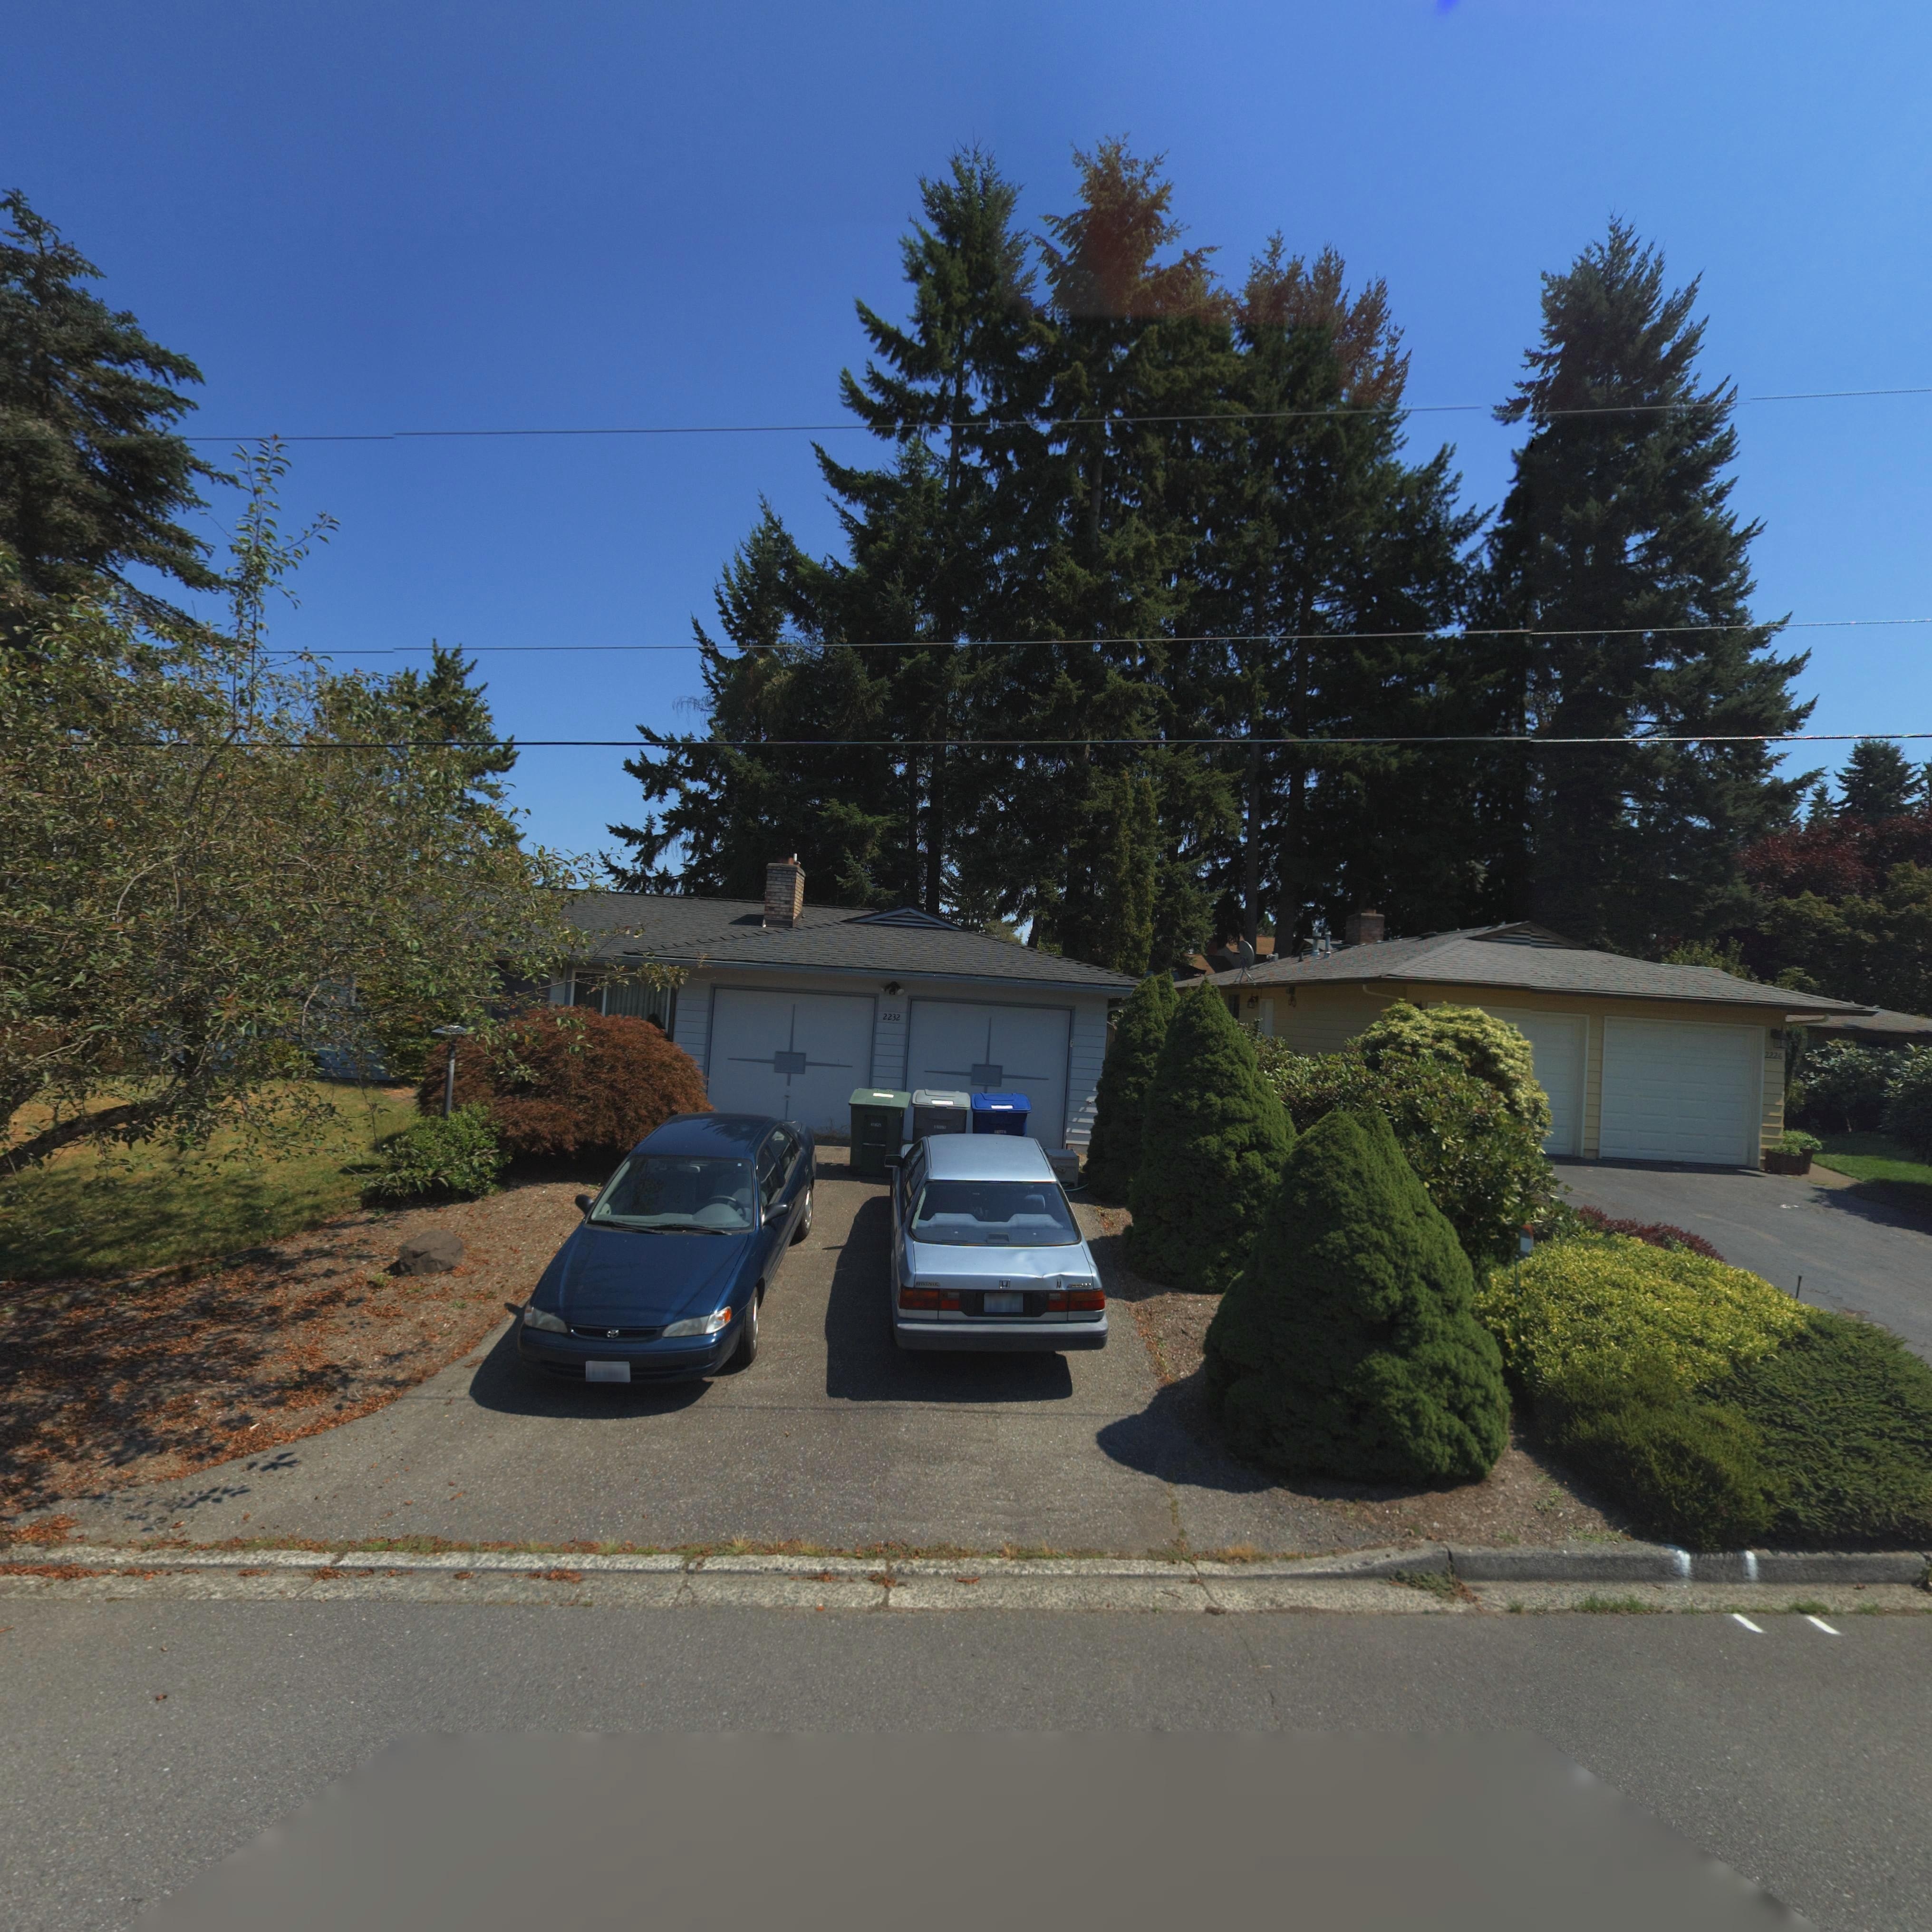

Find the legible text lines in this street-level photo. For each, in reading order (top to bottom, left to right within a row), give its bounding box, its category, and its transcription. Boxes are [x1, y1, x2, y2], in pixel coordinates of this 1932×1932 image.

[883, 1013, 900, 1021] StreetNumber: 2232
[1763, 1050, 1783, 1060] StreetNumber: 2226